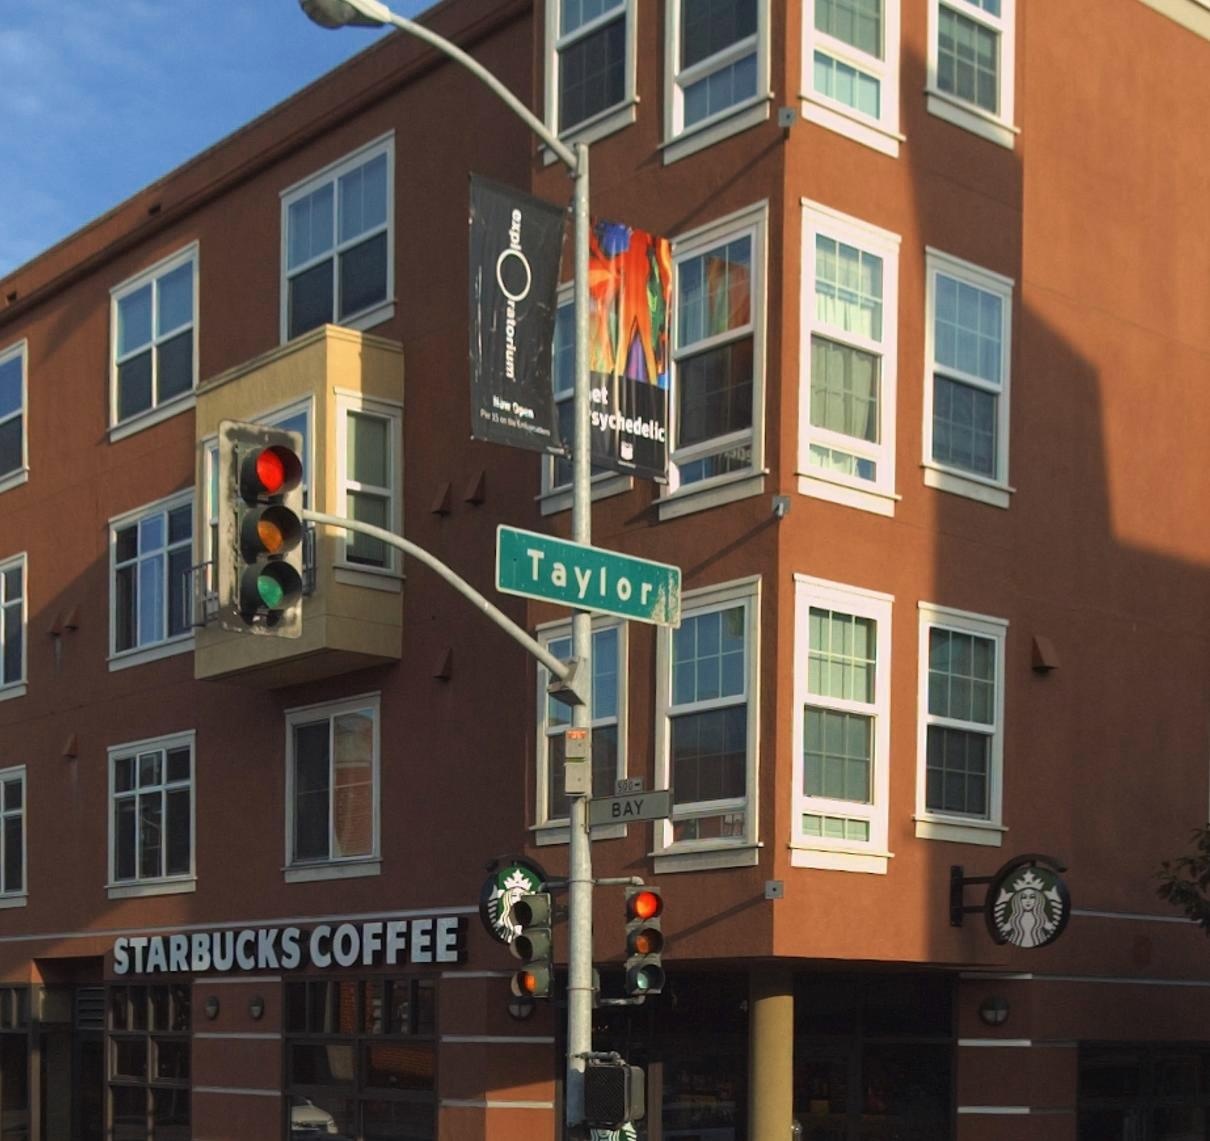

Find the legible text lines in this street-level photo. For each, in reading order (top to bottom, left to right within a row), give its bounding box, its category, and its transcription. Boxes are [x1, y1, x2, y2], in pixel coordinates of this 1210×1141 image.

[501, 202, 525, 384] None: expl*ratorium
[590, 382, 613, 410] None: et
[590, 405, 667, 447] None: sychedelic
[523, 541, 657, 613] StreetName: Taylor
[616, 774, 644, 796] StreetNumberRange: 500->
[609, 795, 647, 822] StreetName: BAY
[109, 913, 463, 978] BusinessName: STARBUCKS COFFEE